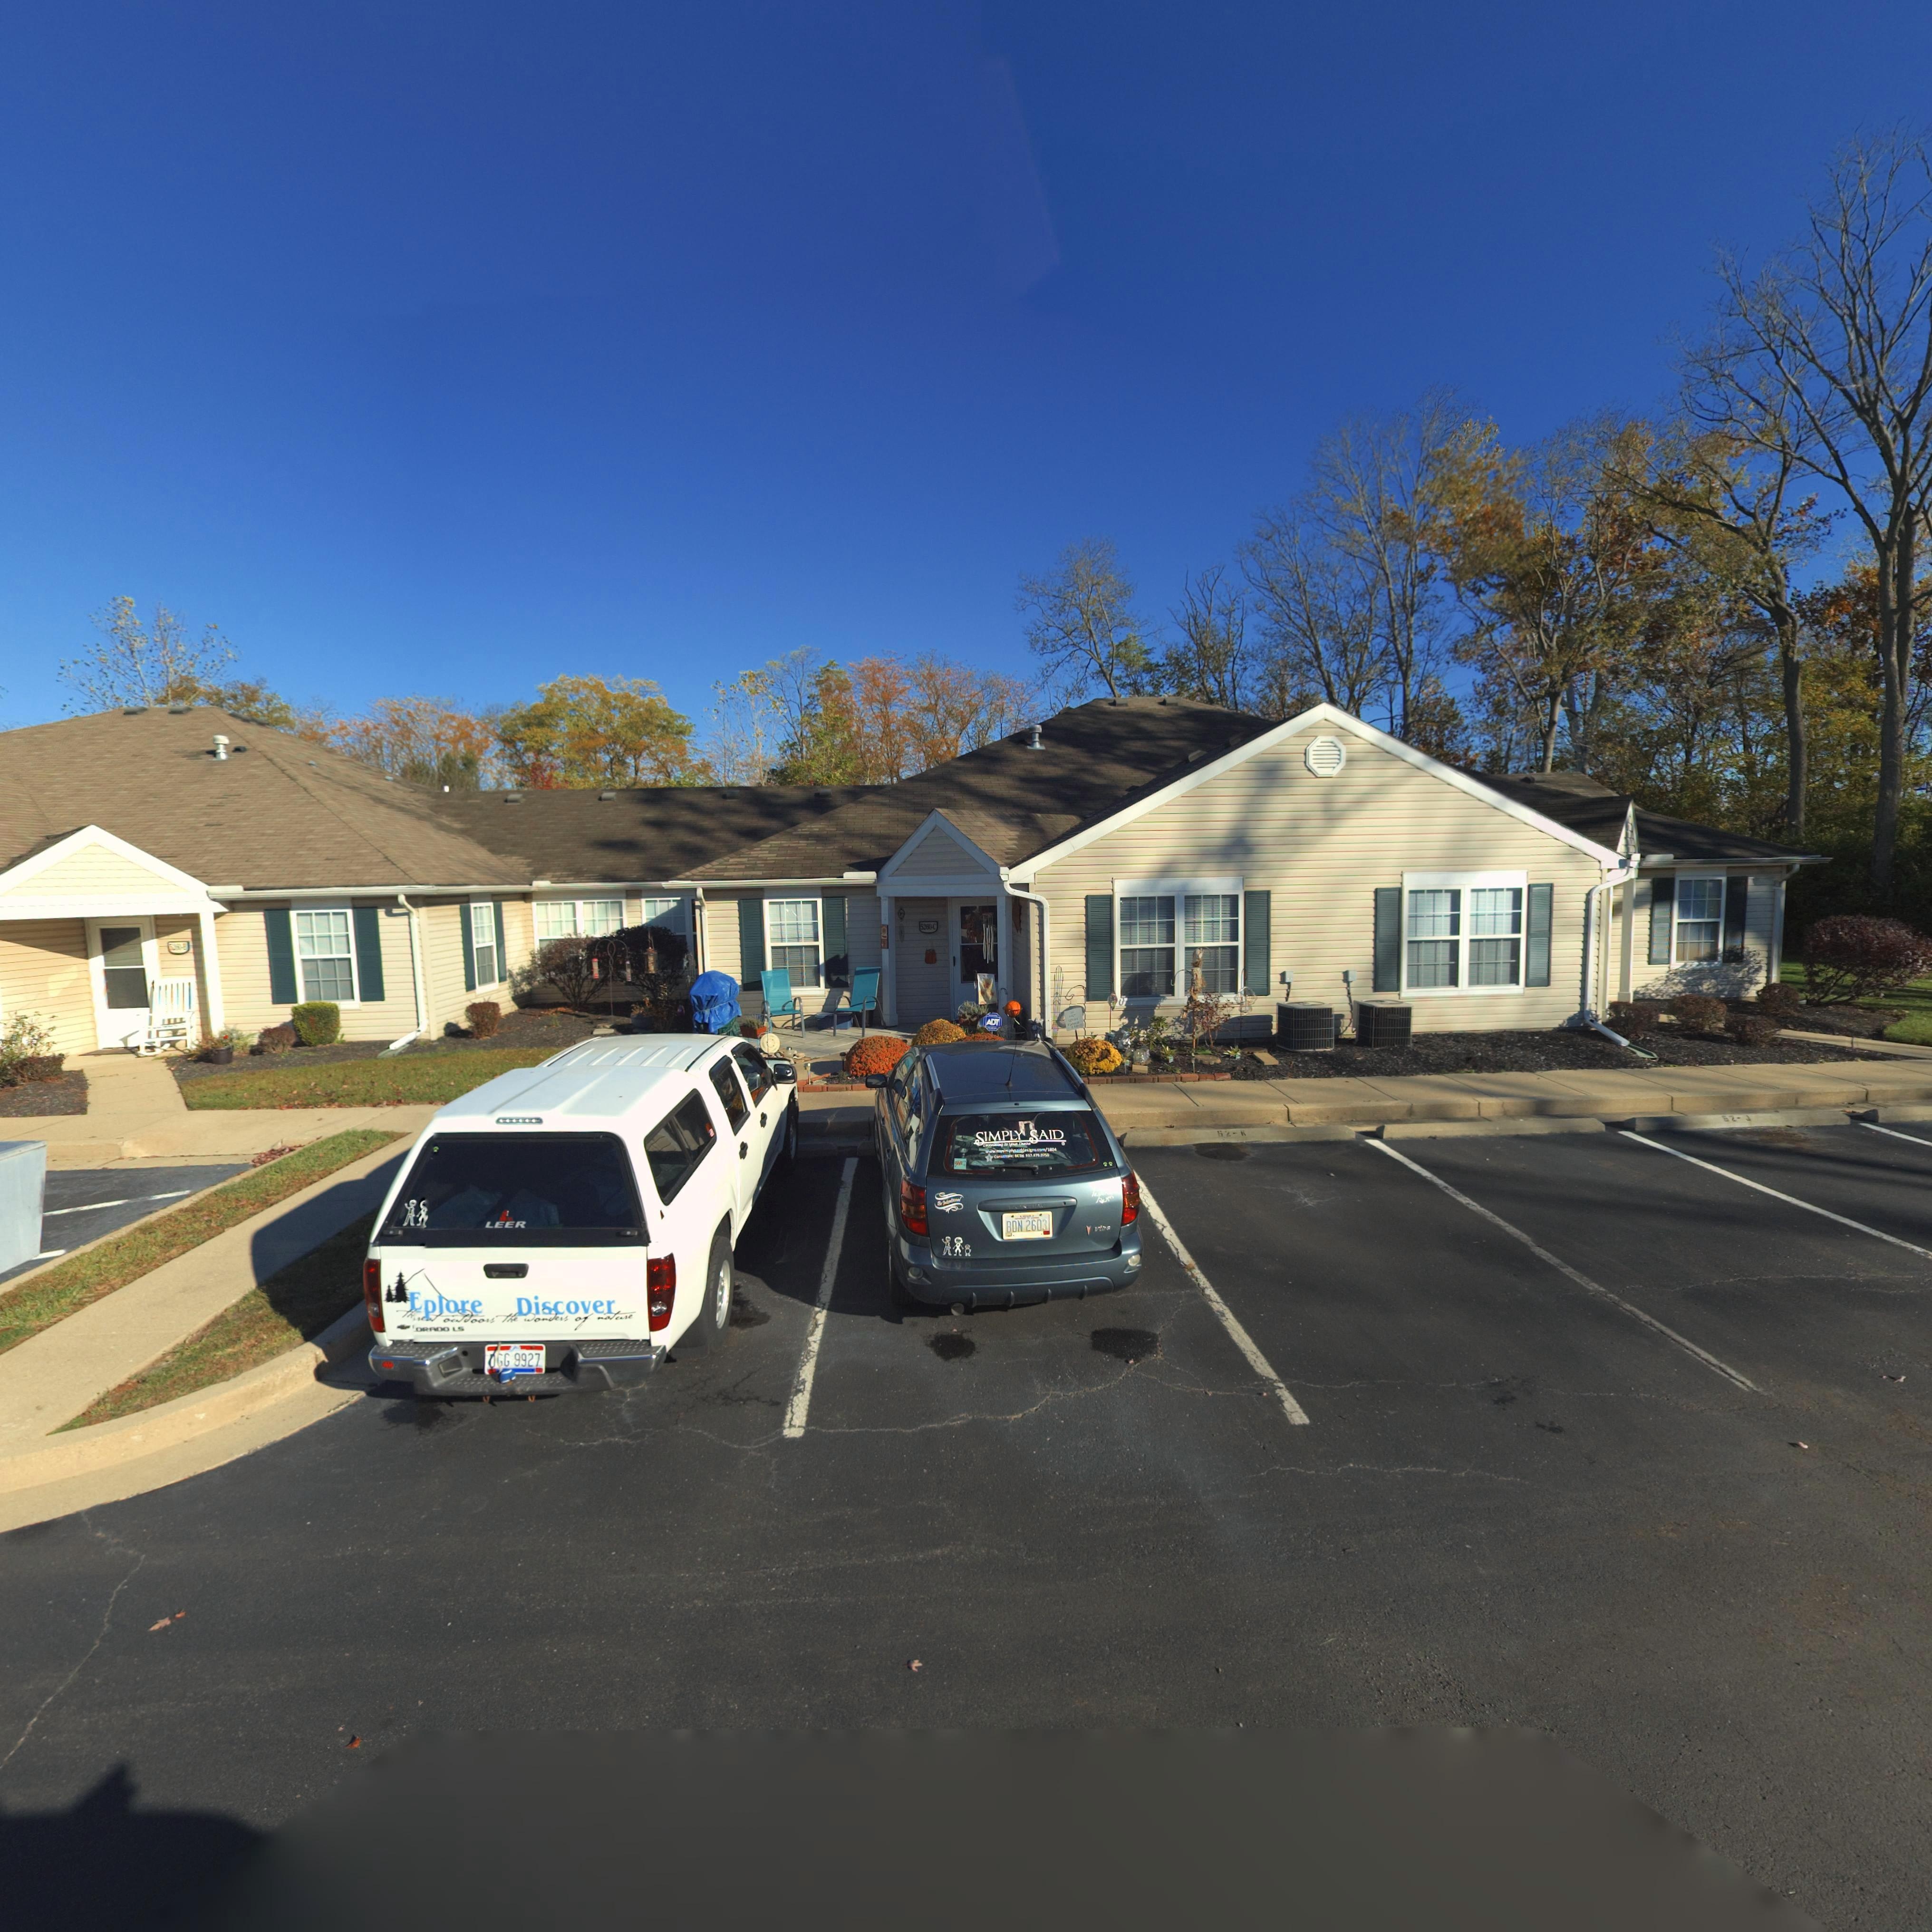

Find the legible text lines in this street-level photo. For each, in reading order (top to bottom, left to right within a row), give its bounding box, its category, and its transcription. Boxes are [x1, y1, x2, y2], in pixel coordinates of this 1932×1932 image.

[919, 923, 937, 929] StreetNumber: 5260-C
[168, 943, 187, 950] StreetNumber: 5260-B